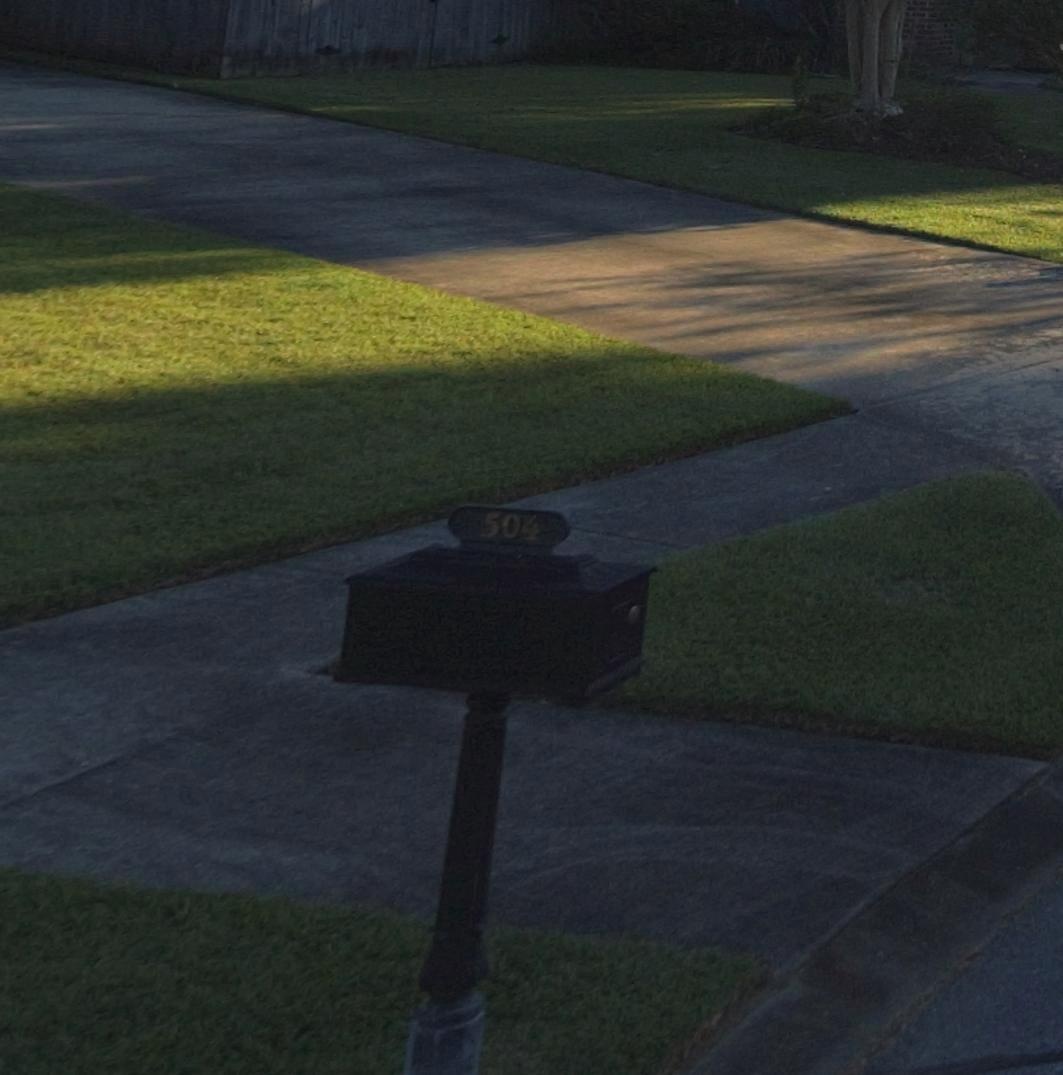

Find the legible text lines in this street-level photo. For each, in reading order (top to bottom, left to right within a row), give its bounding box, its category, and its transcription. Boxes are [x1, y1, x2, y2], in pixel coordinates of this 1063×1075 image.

[478, 511, 542, 542] StreetNumber: 504